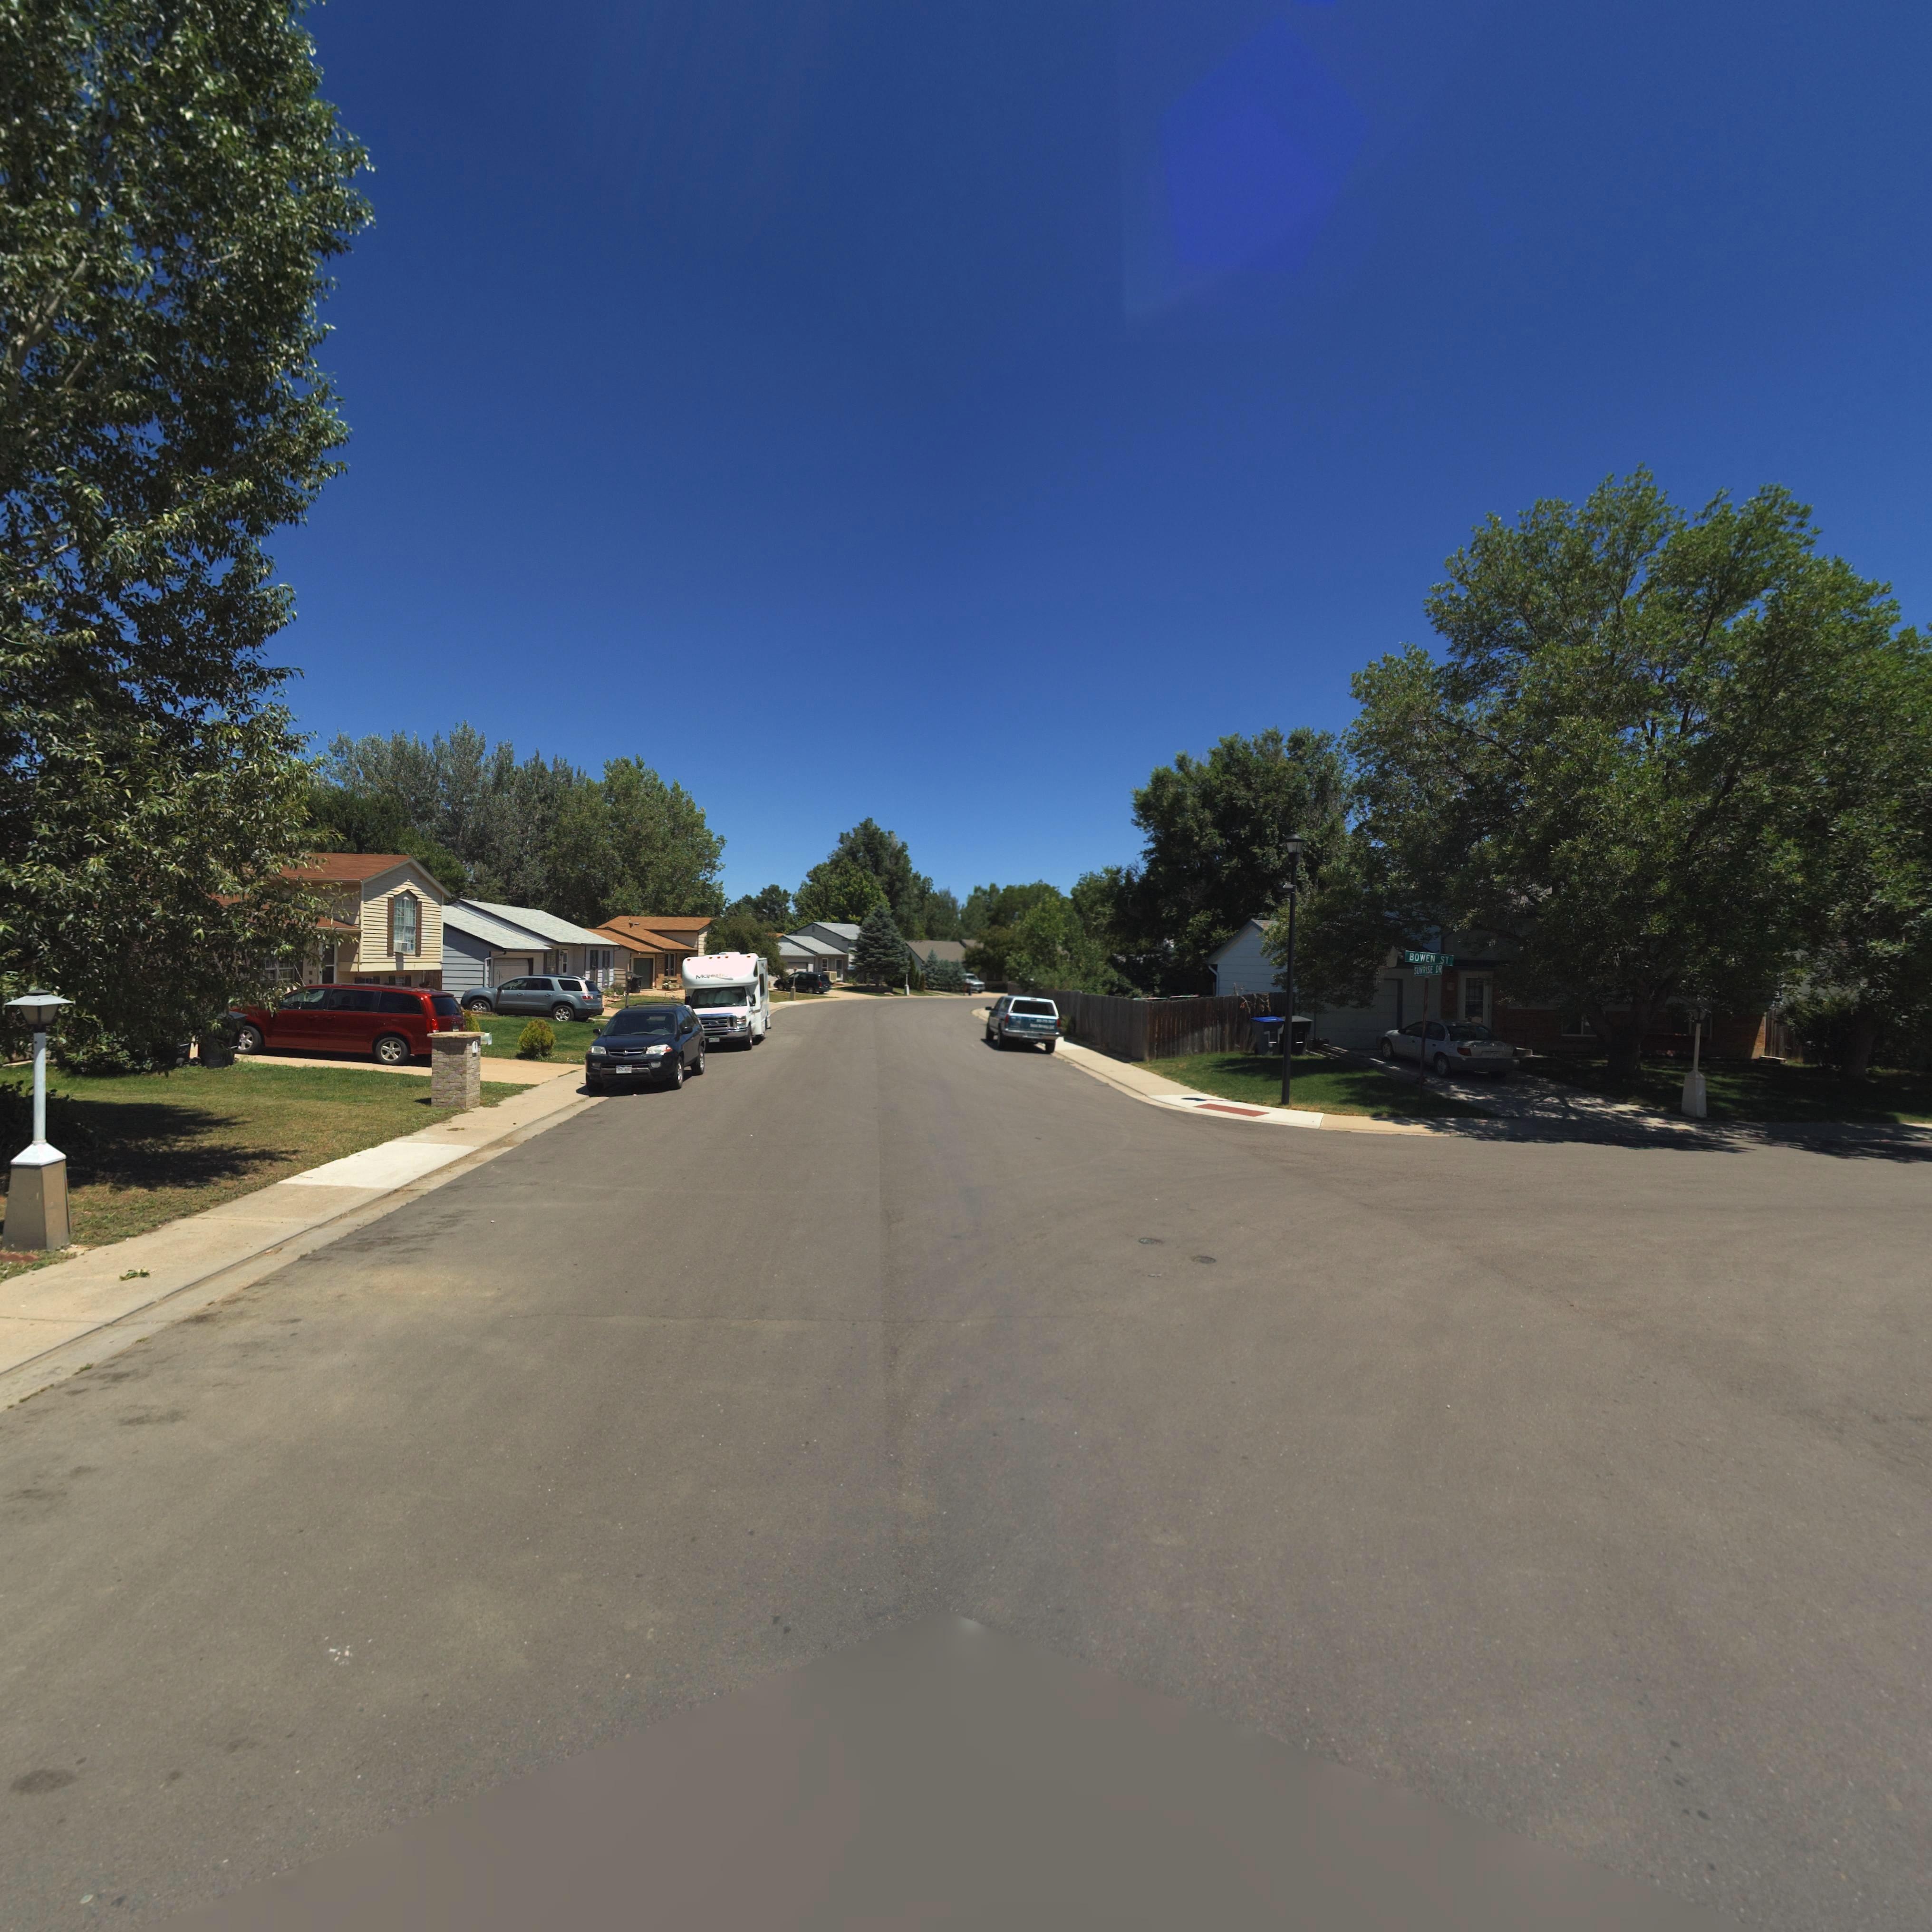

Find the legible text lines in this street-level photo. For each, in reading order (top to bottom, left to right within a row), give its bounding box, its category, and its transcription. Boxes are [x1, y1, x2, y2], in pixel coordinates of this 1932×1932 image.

[1409, 952, 1449, 964] StreetName: BOWEN ST
[1413, 965, 1442, 975] StreetName: SUNRISE DR